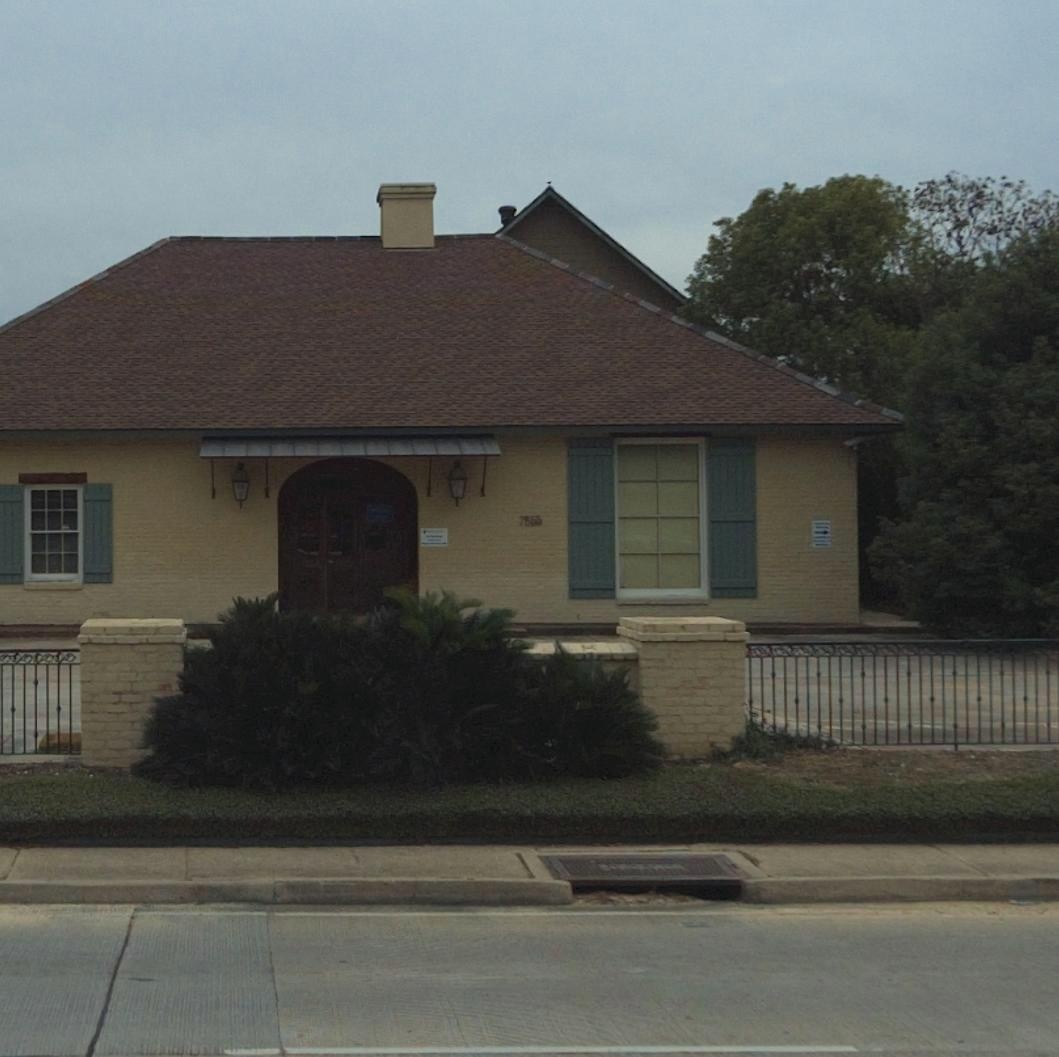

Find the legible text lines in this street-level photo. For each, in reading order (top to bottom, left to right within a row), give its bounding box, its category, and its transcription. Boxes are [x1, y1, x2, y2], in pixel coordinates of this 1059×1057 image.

[518, 515, 543, 528] StreetNumber: 7853